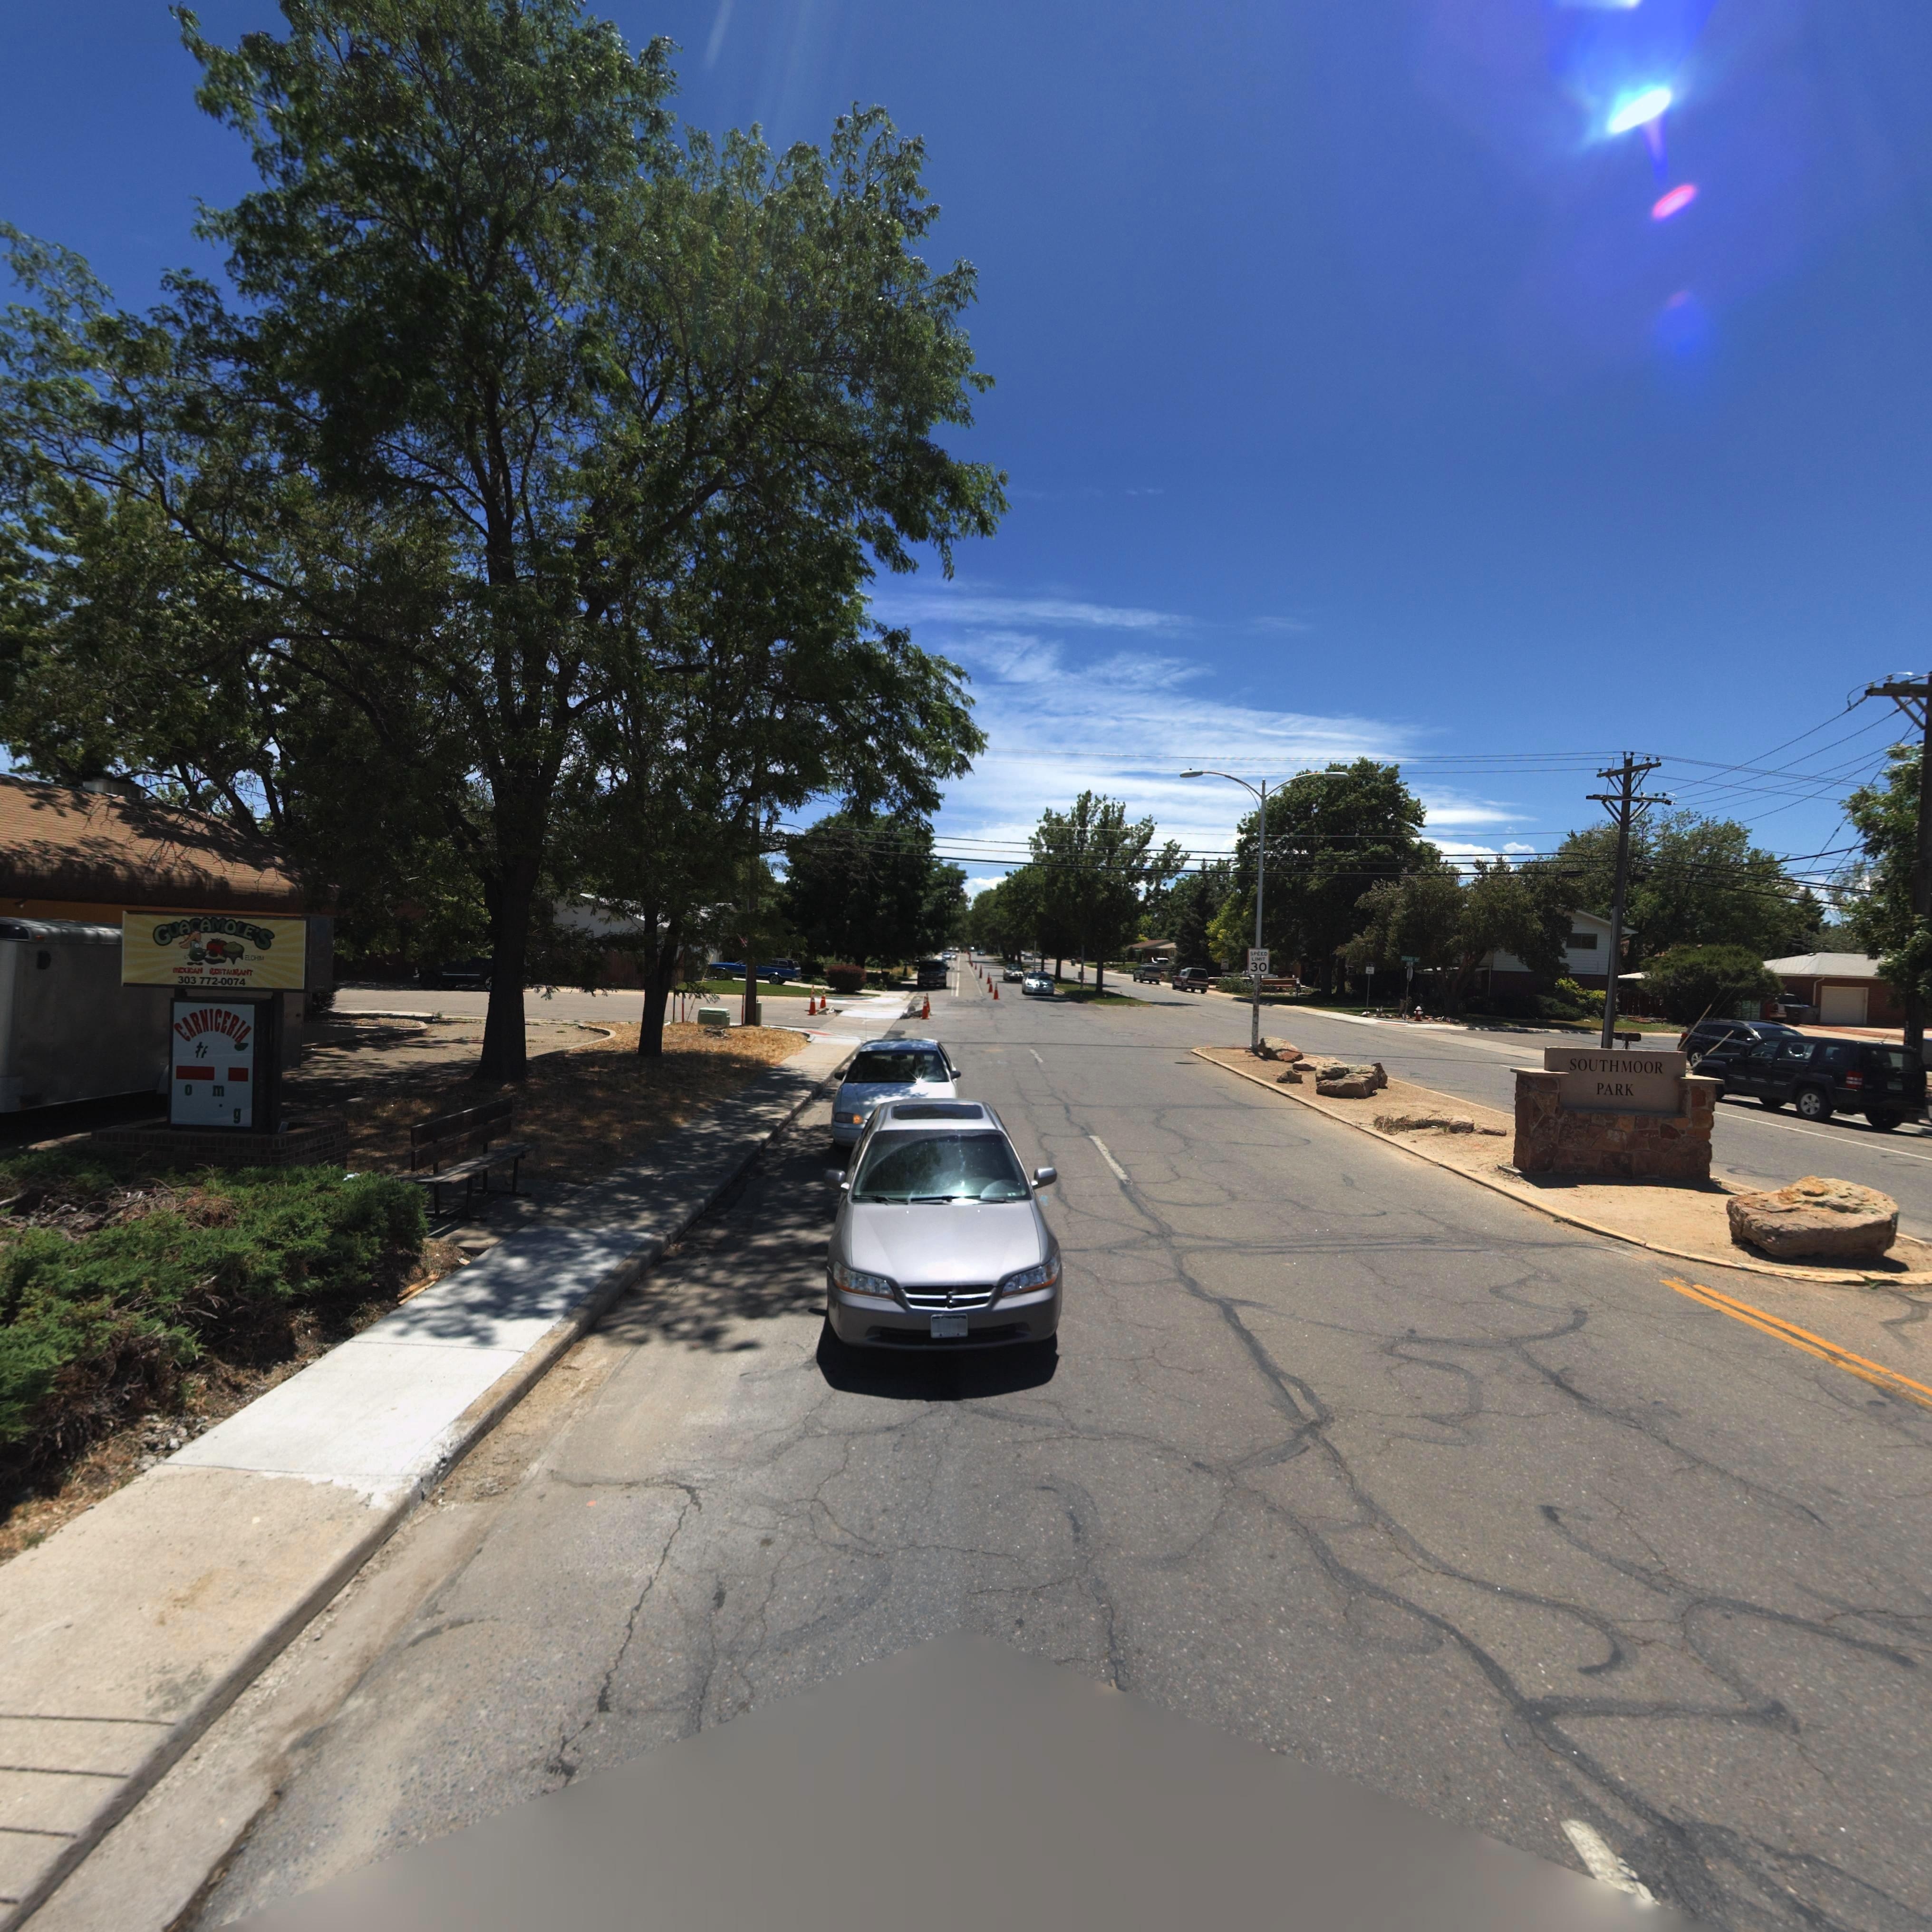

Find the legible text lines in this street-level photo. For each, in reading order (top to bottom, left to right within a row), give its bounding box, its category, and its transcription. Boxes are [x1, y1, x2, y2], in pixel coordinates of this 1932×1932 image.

[152, 916, 277, 951] BusinessName: GUACAMOLE'S
[172, 966, 253, 976] BusinessName: mEXICAN RESTAURANT